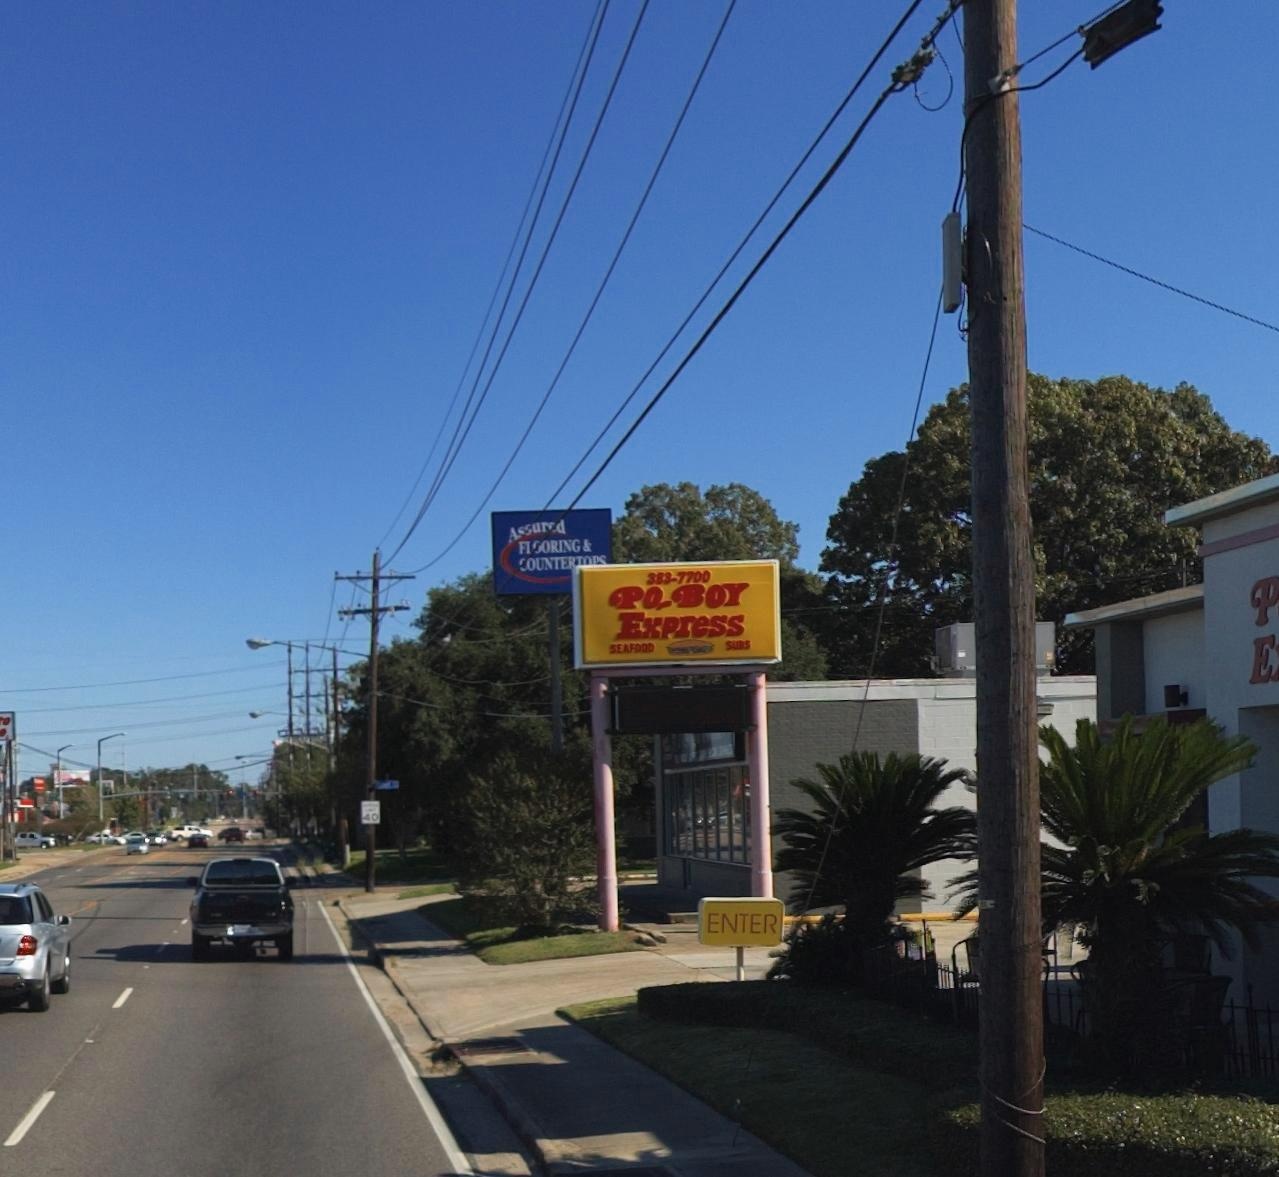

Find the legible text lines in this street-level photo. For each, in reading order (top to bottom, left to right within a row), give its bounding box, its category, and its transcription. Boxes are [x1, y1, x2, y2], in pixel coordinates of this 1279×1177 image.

[507, 518, 567, 545] BusinessName: Assured
[517, 536, 583, 556] BusinessName: FLOORING
[518, 553, 608, 573] BusinessName: COUNTERT***
[645, 569, 712, 586] None: 383-7700
[607, 582, 752, 610] BusinessName: PO-BOY
[1248, 572, 1279, 628] BusinessName: P
[616, 611, 748, 641] BusinessName: Express
[607, 641, 656, 656] None: SEAFOOD
[723, 638, 752, 653] None: SUBS
[1245, 631, 1276, 686] BusinessName: E
[362, 811, 381, 823] None: 40
[706, 911, 779, 937] None: ENTER